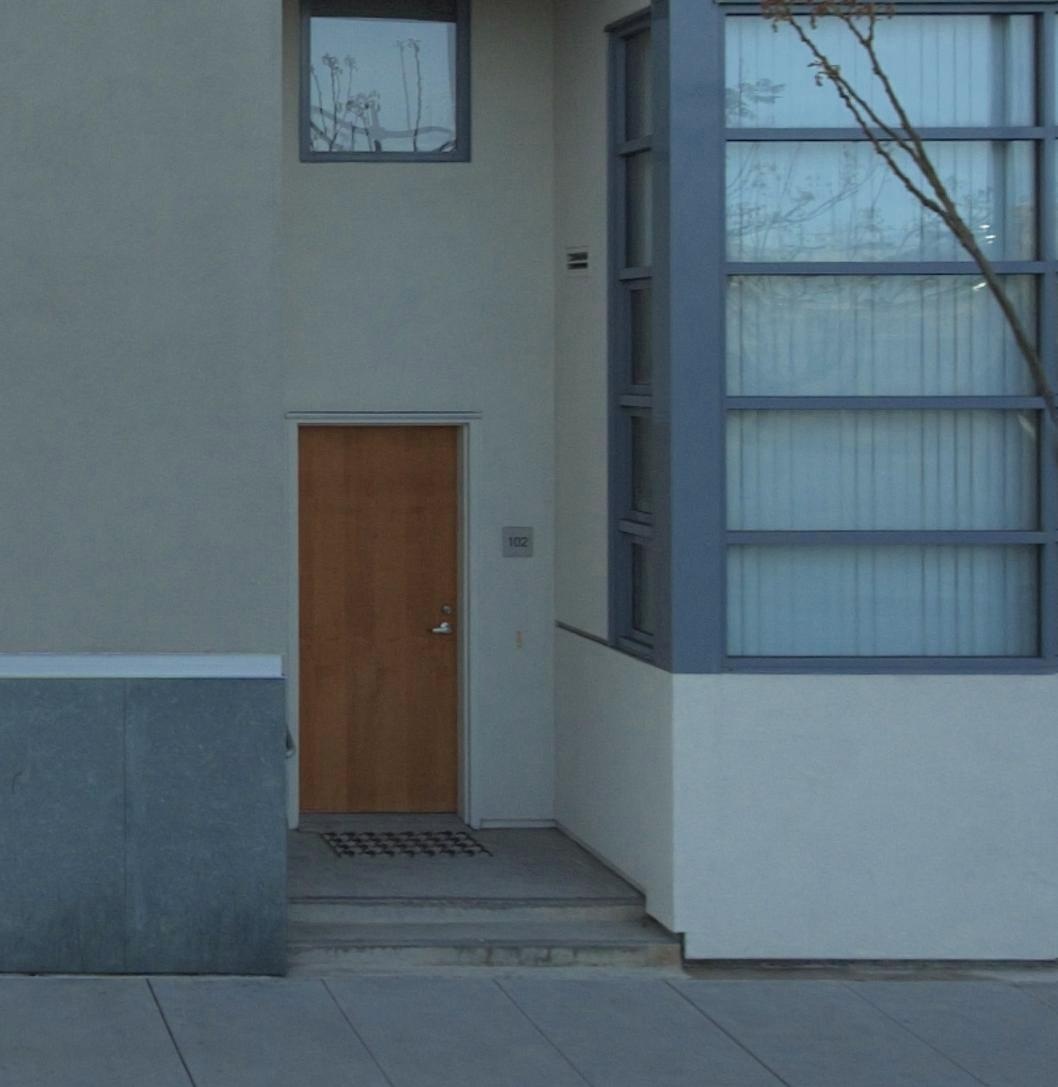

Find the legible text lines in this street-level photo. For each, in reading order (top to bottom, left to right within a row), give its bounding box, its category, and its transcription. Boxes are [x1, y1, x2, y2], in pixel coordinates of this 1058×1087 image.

[506, 533, 531, 551] StreetNumber: 102